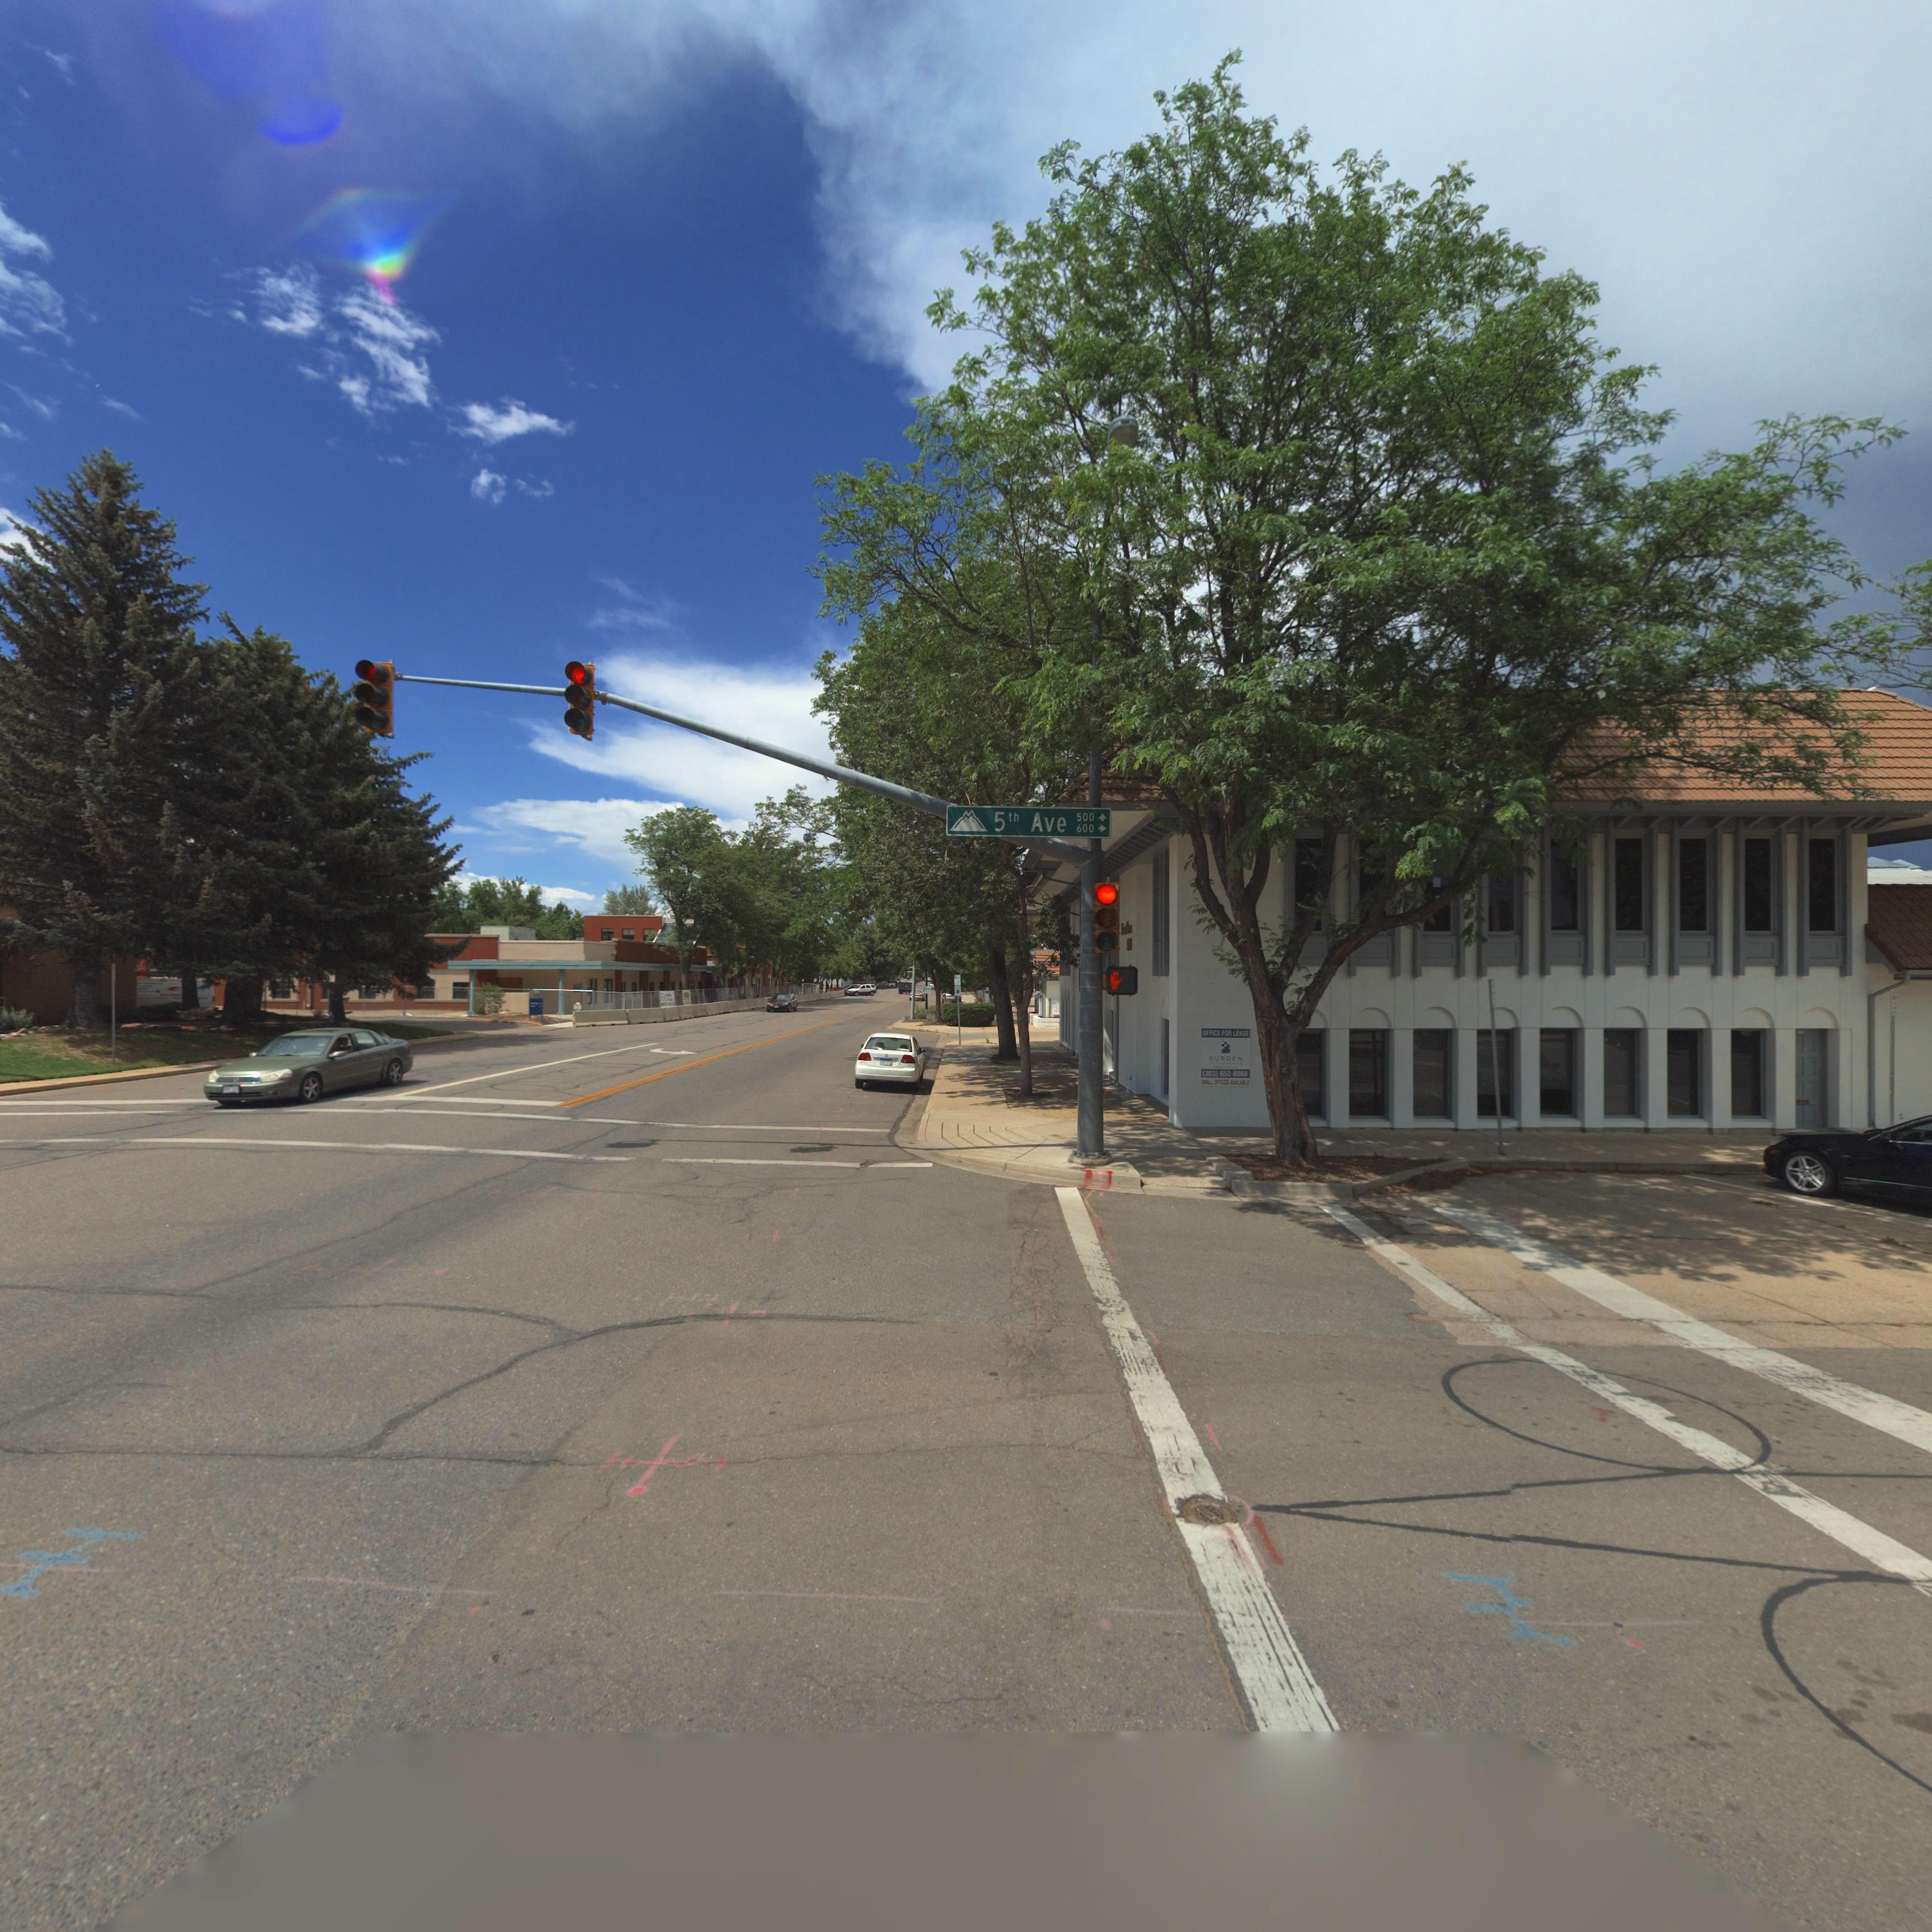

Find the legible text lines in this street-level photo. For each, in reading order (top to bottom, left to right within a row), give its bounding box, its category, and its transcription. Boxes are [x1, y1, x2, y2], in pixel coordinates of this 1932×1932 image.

[994, 811, 1066, 832] StreetName: 5th Ave
[1076, 812, 1094, 821] StreetNumberRange: 500
[1076, 823, 1106, 833] StreetNumberRange: 600->
[1126, 937, 1133, 950] StreetNumber: 500